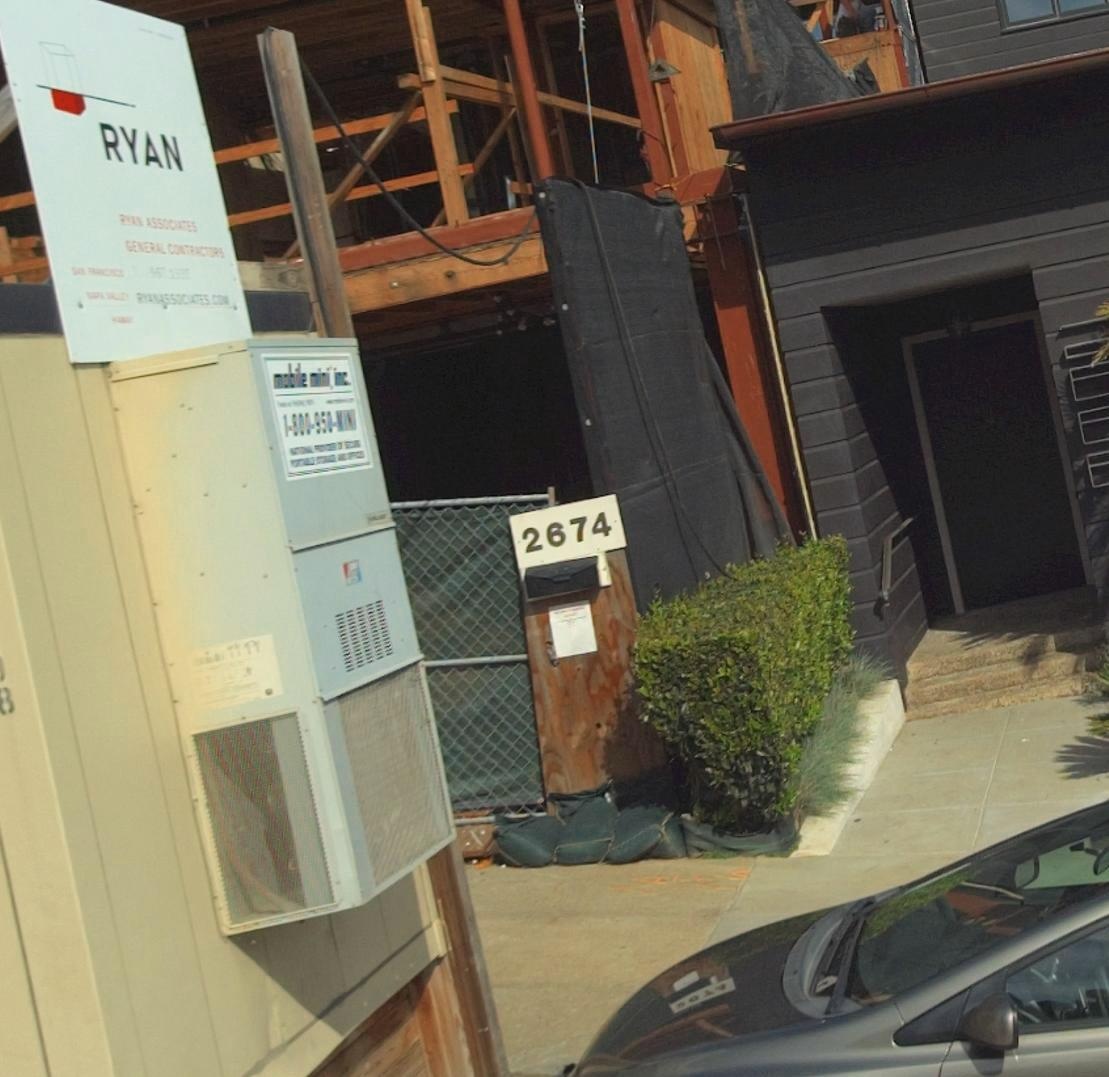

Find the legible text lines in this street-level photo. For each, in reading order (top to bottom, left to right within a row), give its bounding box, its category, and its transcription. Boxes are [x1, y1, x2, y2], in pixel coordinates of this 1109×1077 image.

[92, 116, 190, 176] None: RYAN
[115, 209, 205, 236] None: RYAN ASSOCIATES
[121, 237, 228, 261] None: GENERAL CONTRACTORS
[132, 289, 234, 309] None: RYANASSOCIATES.COM
[268, 358, 358, 395] None: mobile mini, inc.
[279, 404, 364, 441] None: 1-800-950-MINI
[515, 506, 616, 558] StreetNumber: 2674